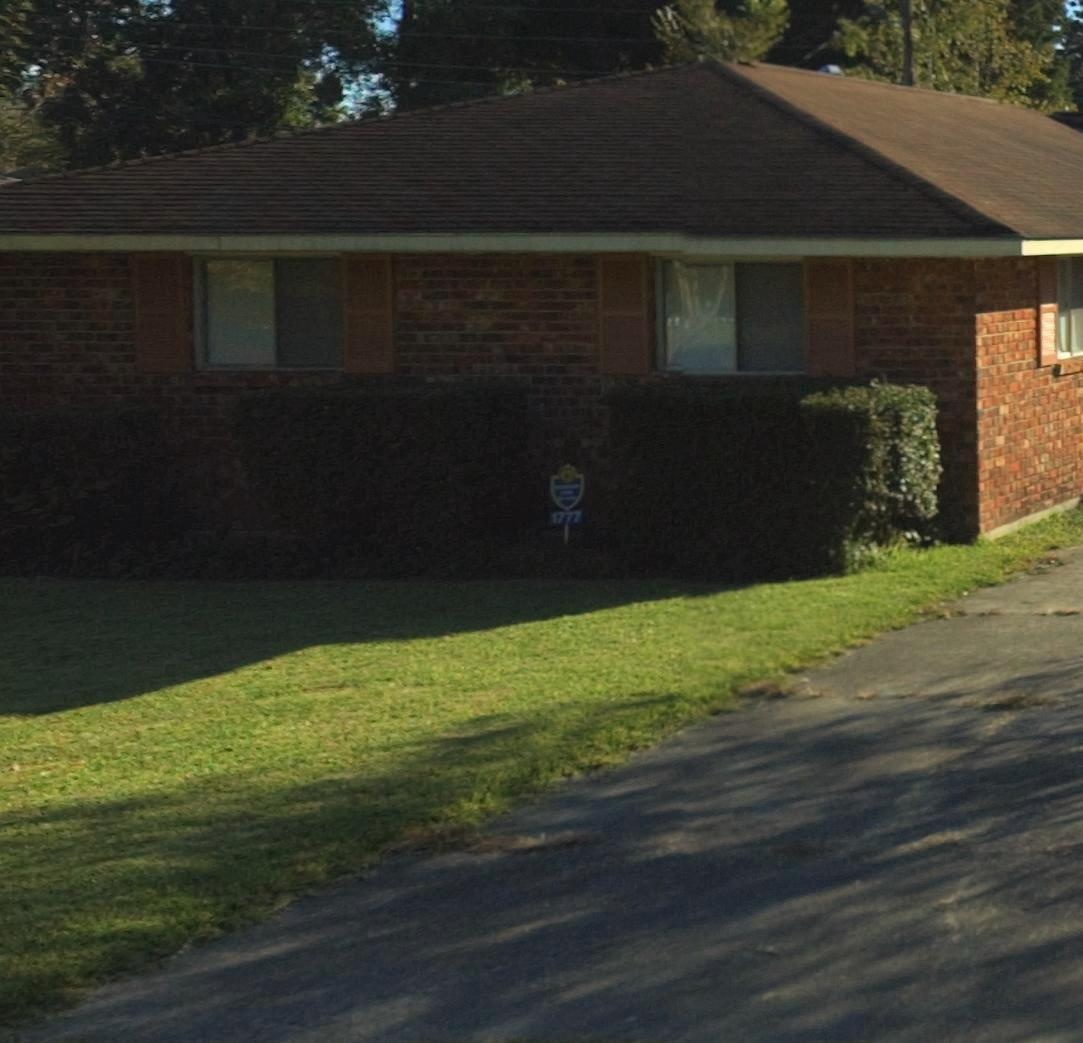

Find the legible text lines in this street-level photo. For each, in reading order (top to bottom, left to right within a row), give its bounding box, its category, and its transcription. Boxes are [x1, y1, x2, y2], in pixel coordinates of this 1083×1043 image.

[549, 510, 583, 525] StreetNumber: 1777